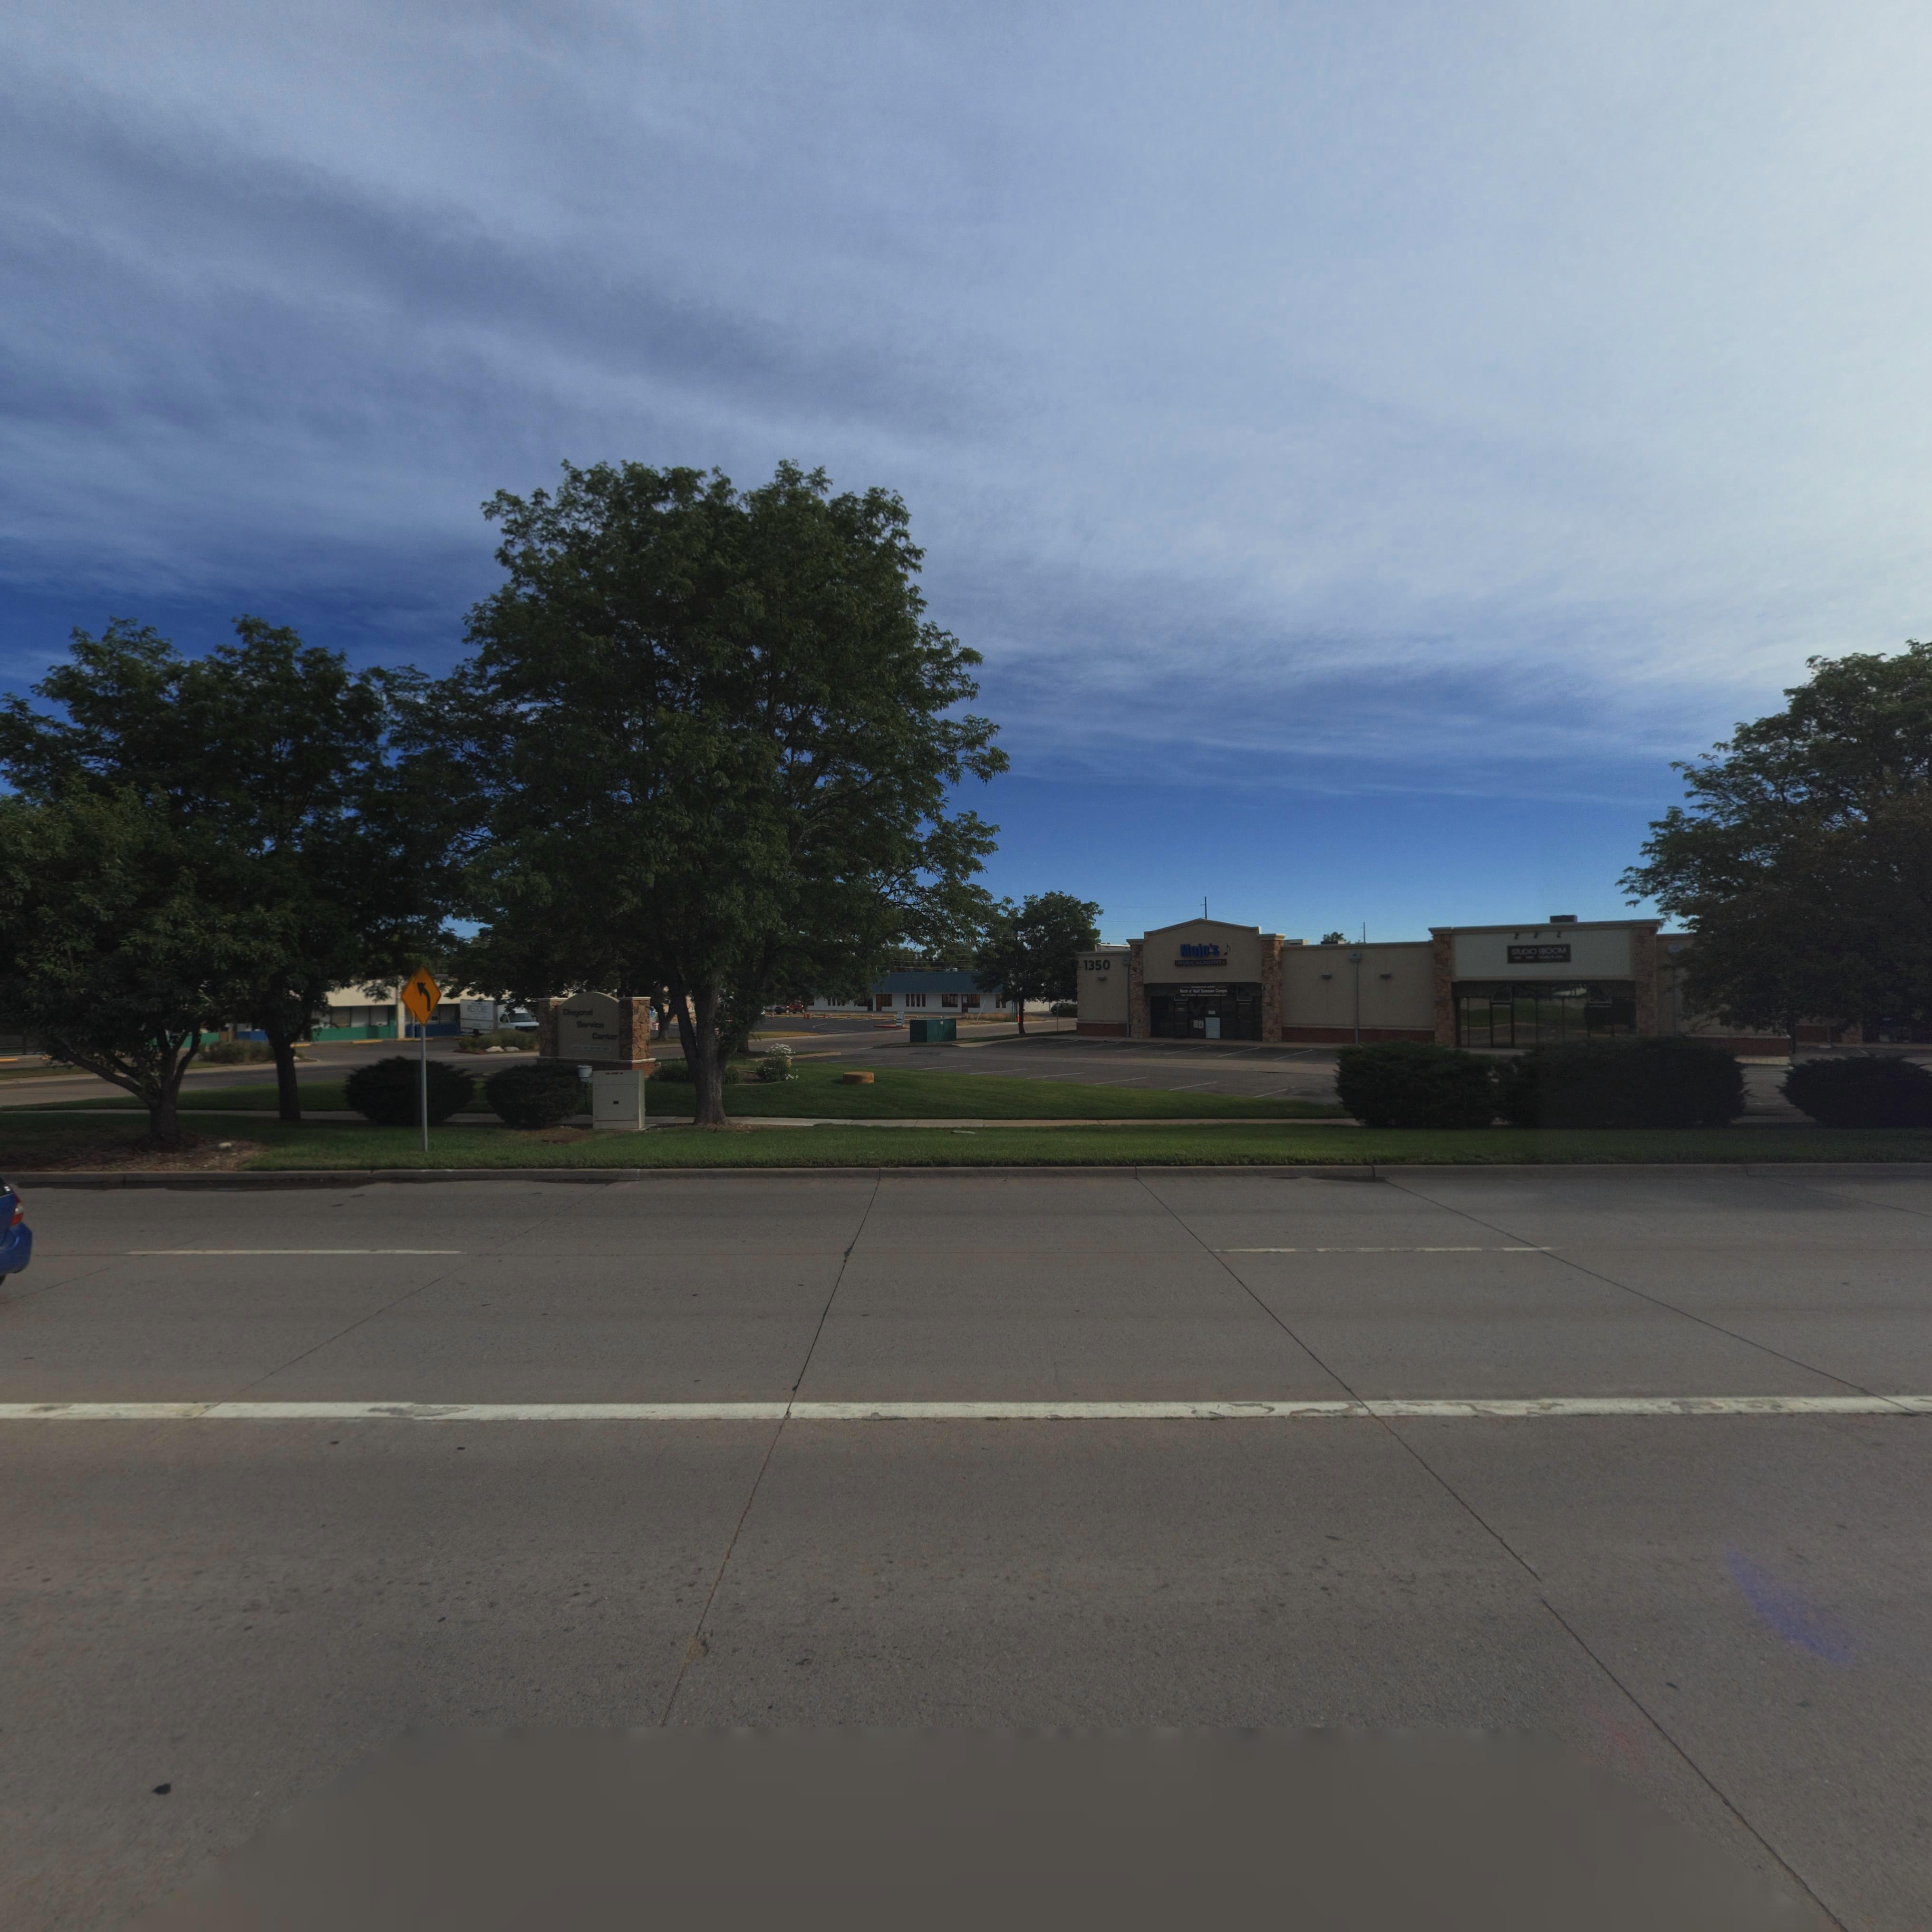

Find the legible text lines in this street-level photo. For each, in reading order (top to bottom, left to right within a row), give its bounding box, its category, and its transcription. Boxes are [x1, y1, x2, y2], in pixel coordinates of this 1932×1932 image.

[1179, 942, 1220, 959] BusinessName: Mojo's
[1510, 947, 1566, 956] BusinessName: STUD*O *OOM
[1082, 959, 1111, 971] StreetNumber: 1350